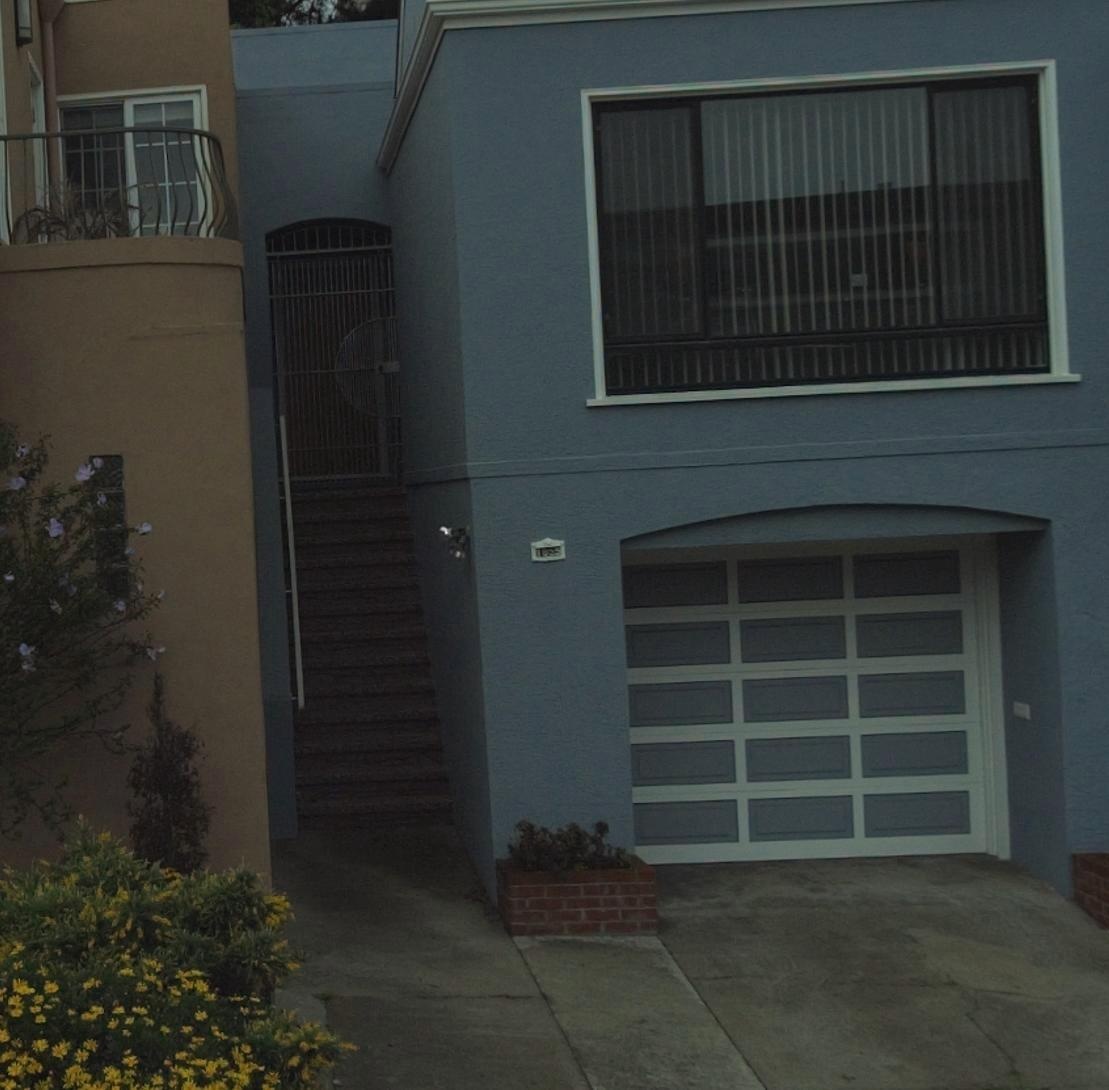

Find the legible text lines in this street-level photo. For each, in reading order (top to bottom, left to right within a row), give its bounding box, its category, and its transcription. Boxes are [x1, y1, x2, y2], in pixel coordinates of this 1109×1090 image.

[536, 546, 561, 558] StreetNumber: 1055